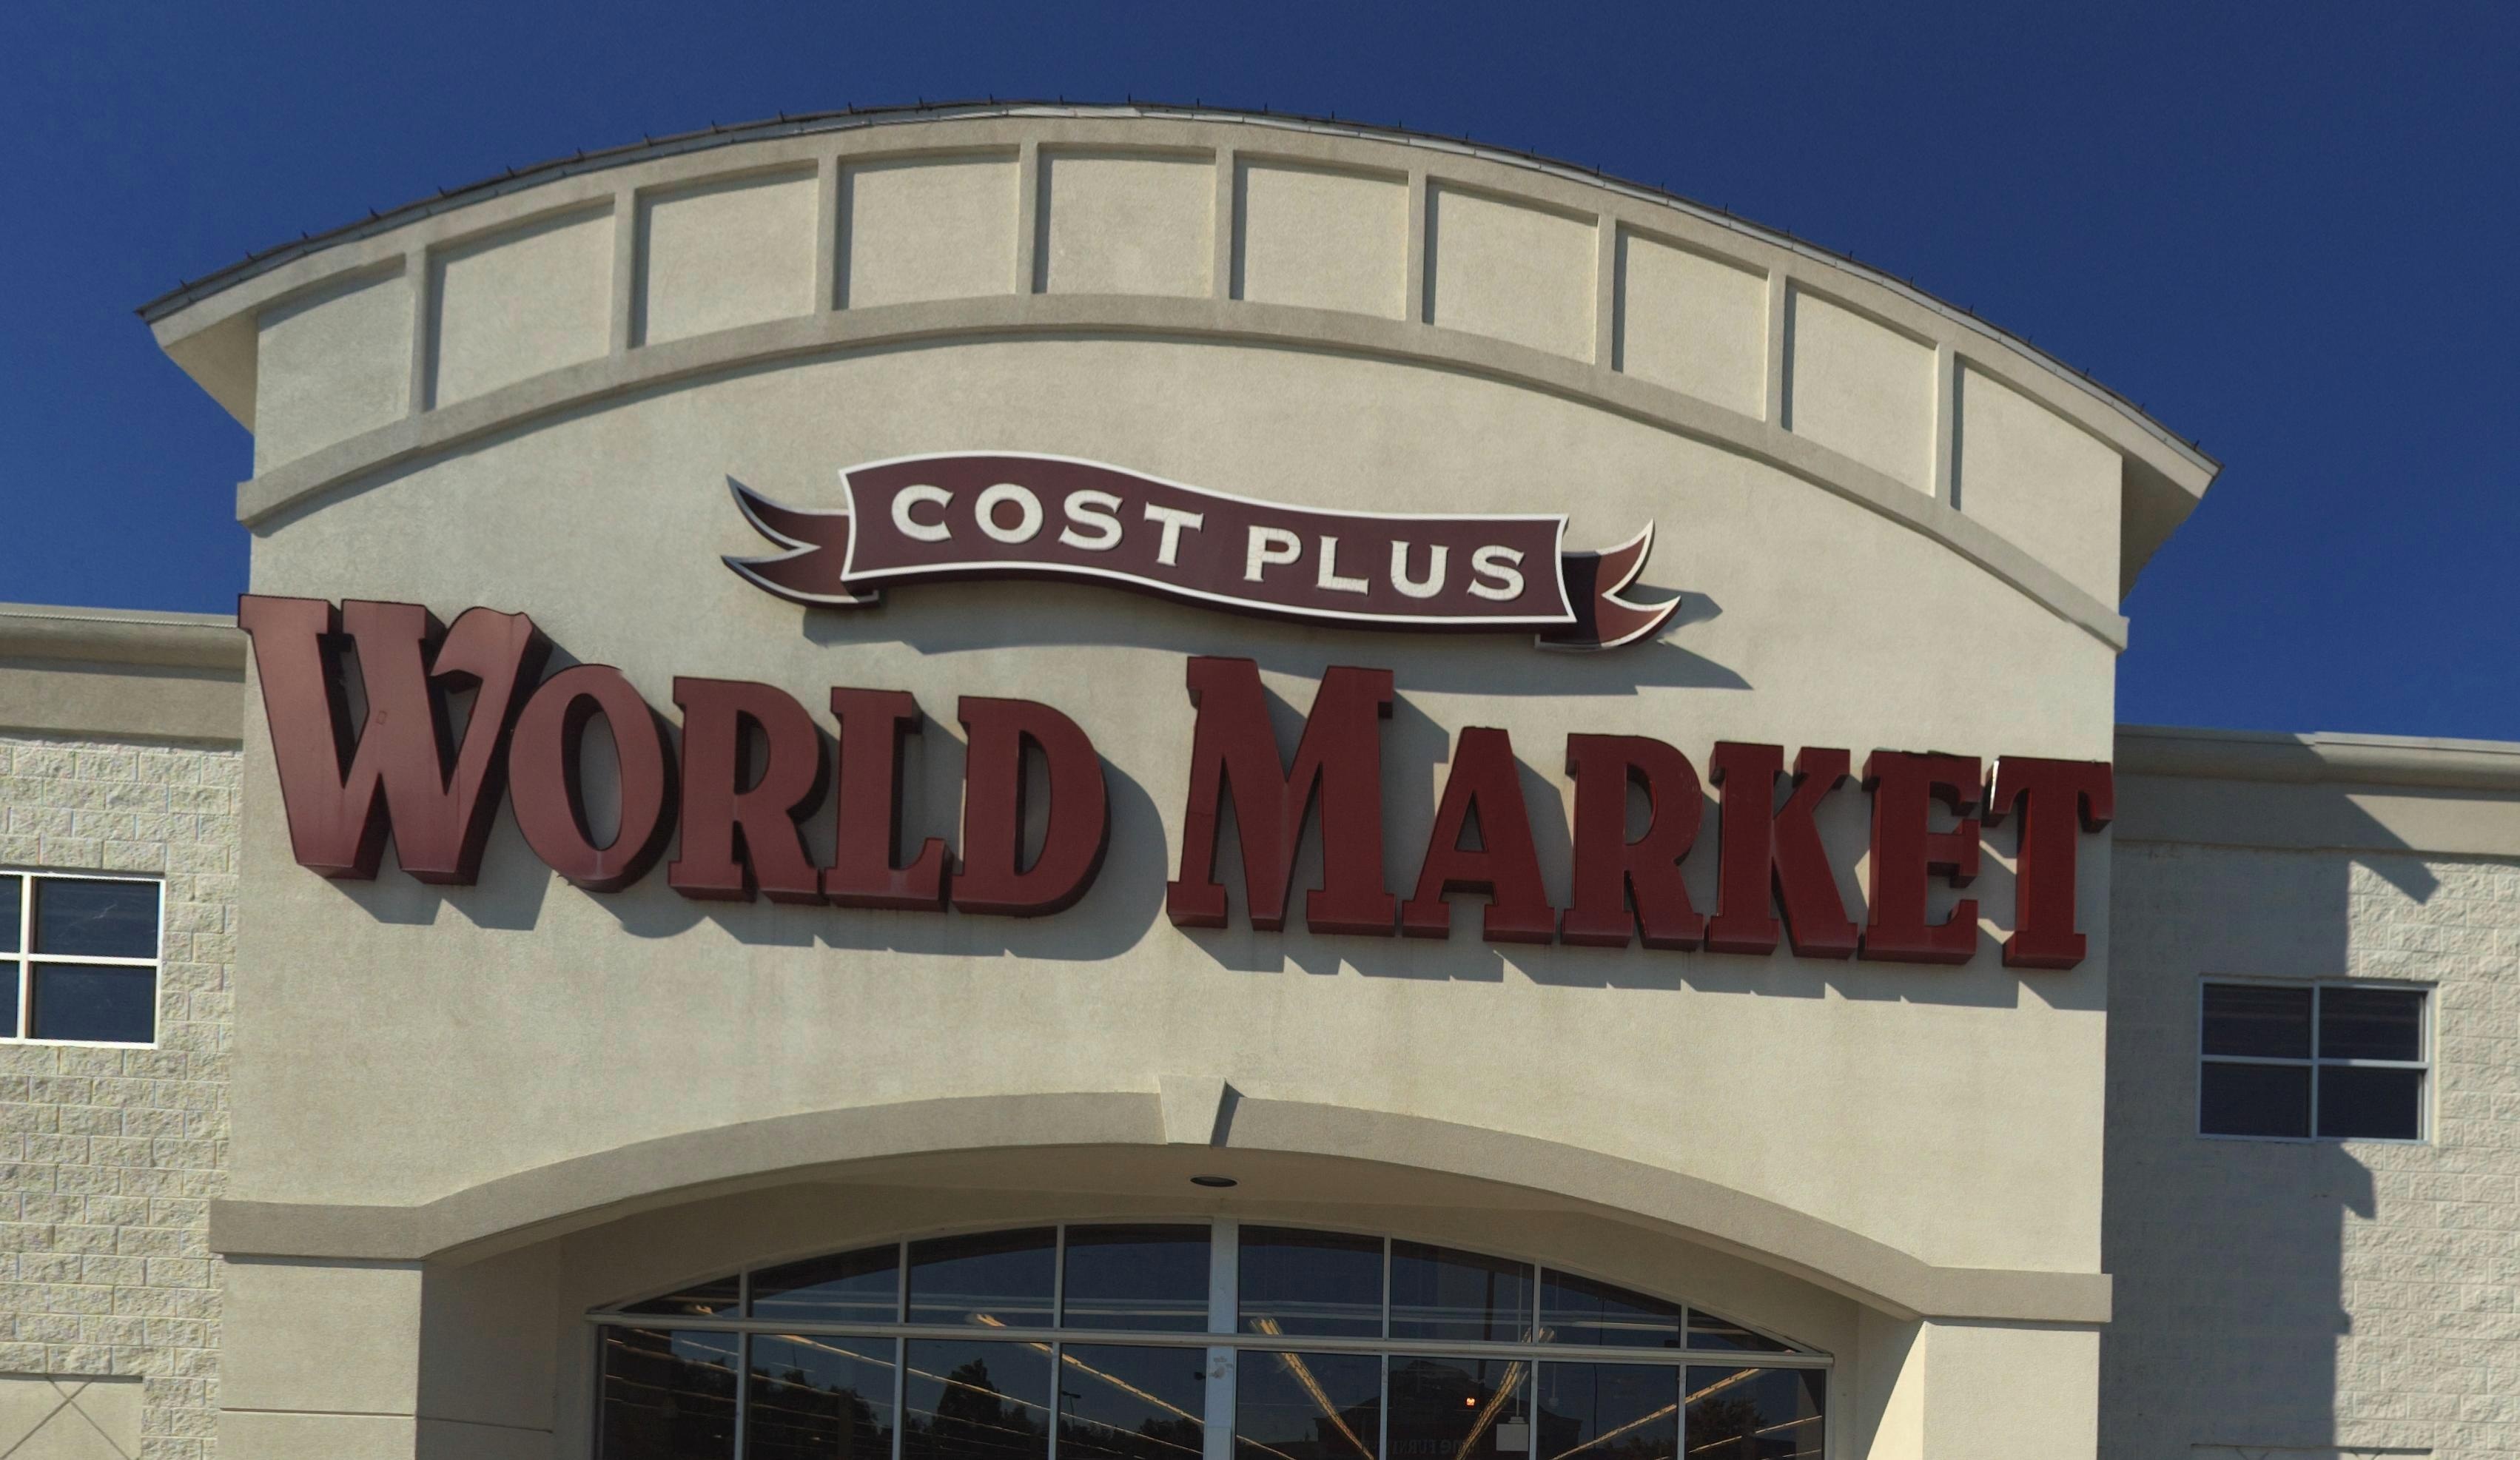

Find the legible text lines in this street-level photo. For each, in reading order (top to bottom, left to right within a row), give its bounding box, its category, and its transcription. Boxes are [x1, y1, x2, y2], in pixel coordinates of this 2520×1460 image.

[883, 474, 1531, 613] BusinessName: COST PLUS
[209, 583, 2120, 972] BusinessName: WORLD MARKET